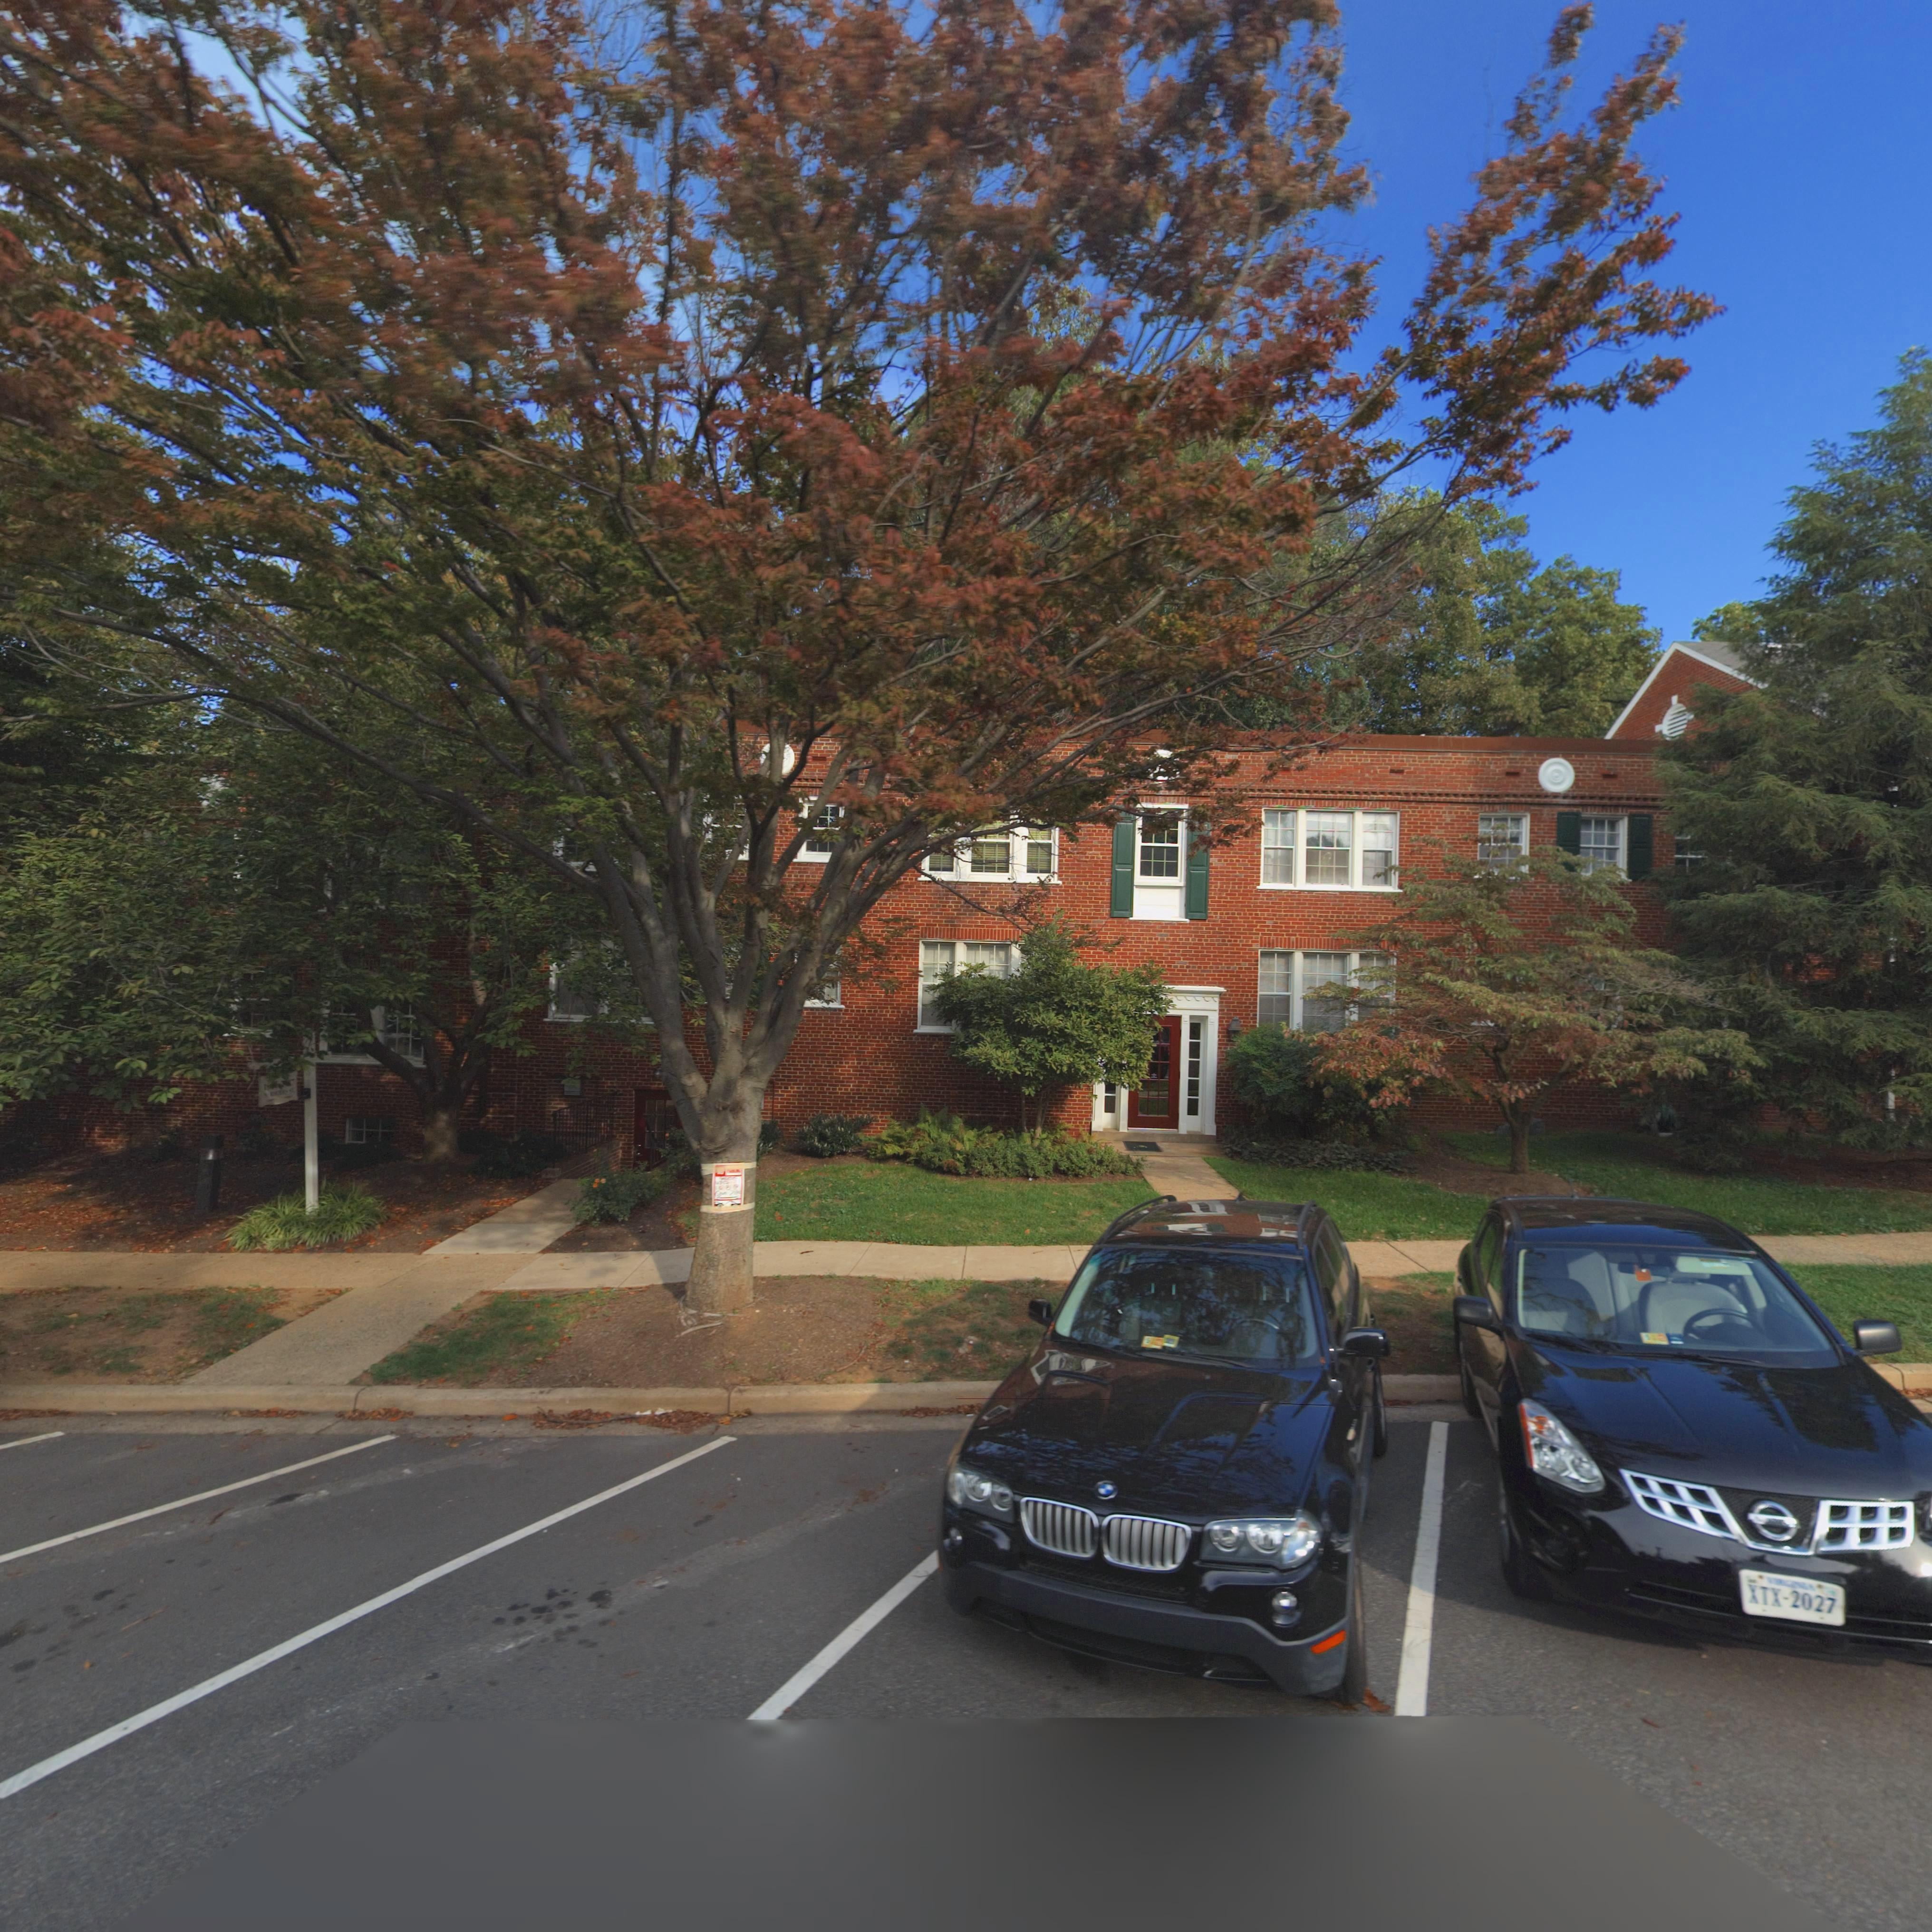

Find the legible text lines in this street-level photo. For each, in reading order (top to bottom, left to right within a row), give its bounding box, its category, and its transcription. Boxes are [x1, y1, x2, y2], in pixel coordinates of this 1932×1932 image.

[1747, 1581, 1840, 1618] None: XTX-2027